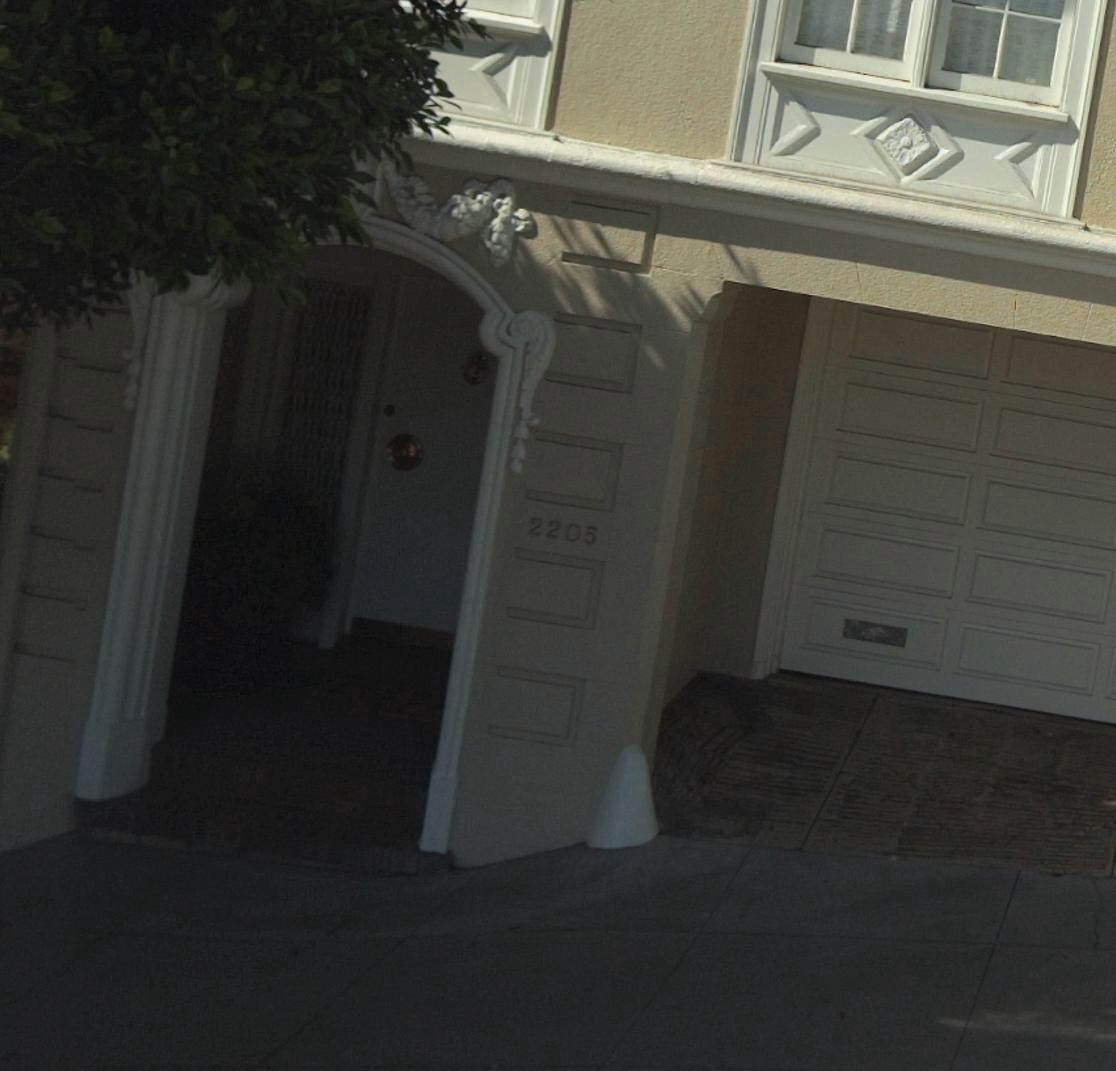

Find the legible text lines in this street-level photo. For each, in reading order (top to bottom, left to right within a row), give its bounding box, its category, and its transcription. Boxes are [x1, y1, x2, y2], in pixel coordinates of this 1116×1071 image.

[524, 514, 600, 548] StreetNumber: 2205